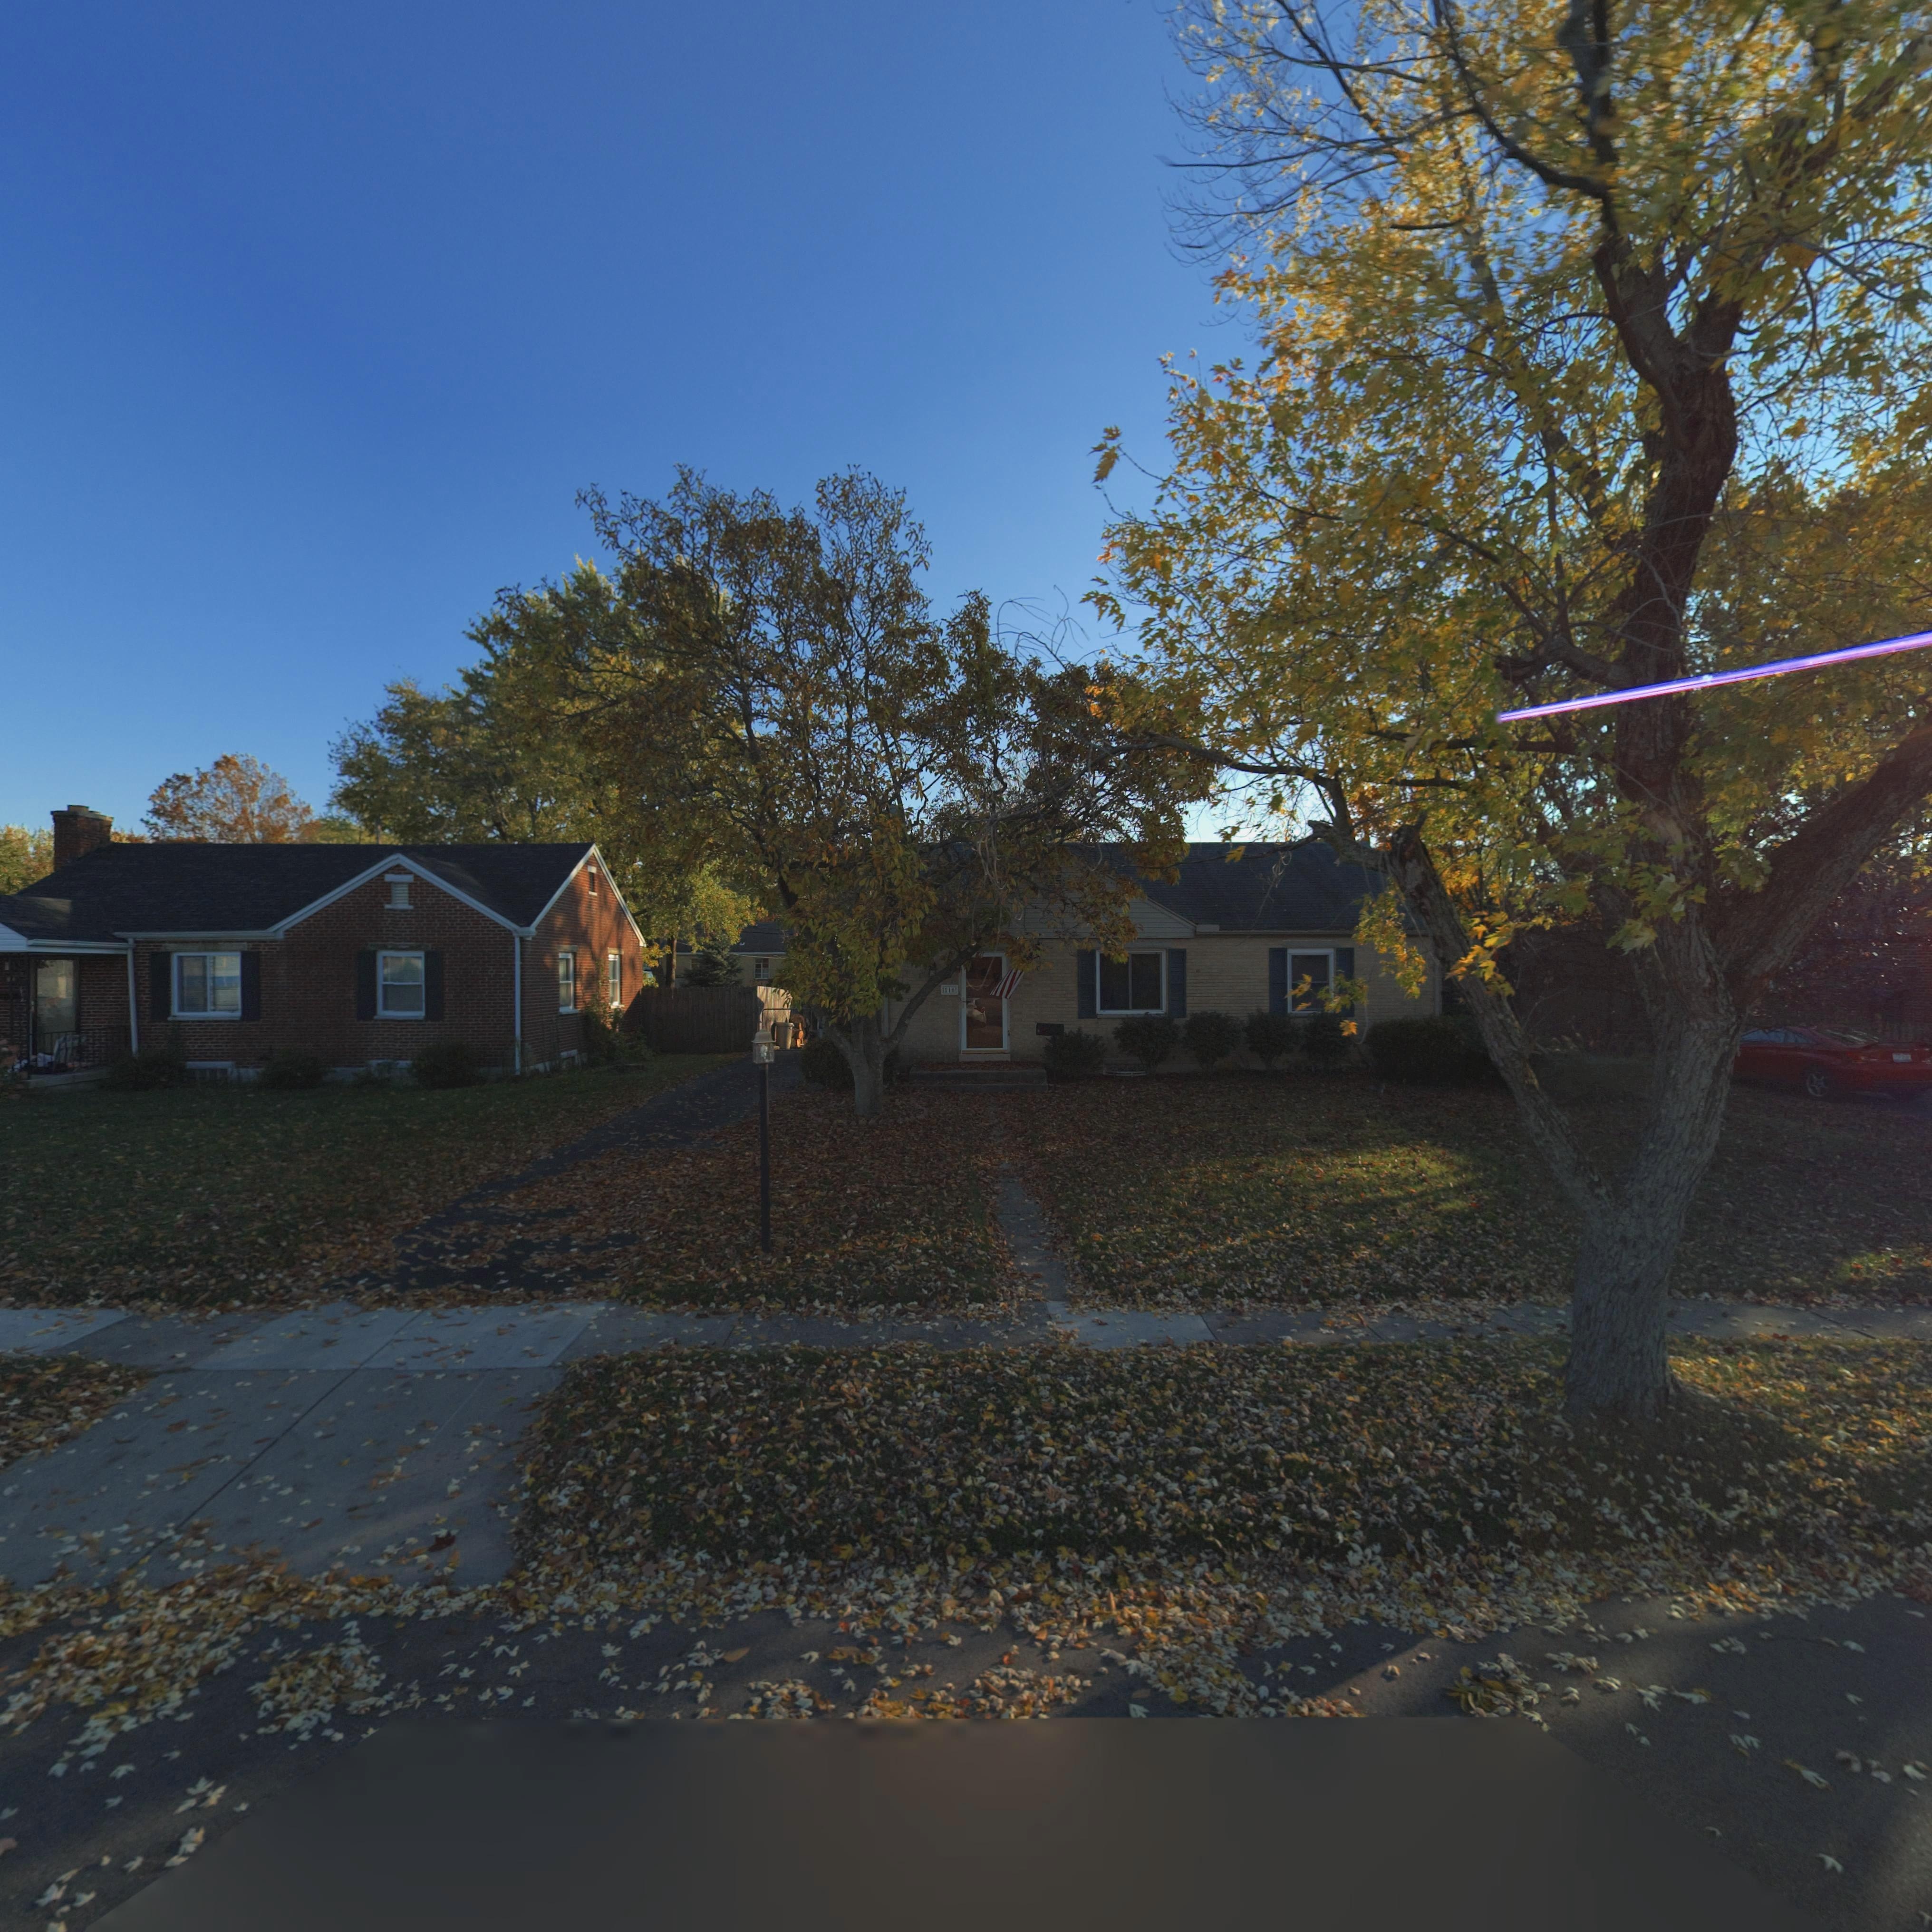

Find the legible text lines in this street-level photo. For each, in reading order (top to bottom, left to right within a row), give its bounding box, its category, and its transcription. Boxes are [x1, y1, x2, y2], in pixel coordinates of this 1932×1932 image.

[944, 986, 955, 993] StreetNumber: 116